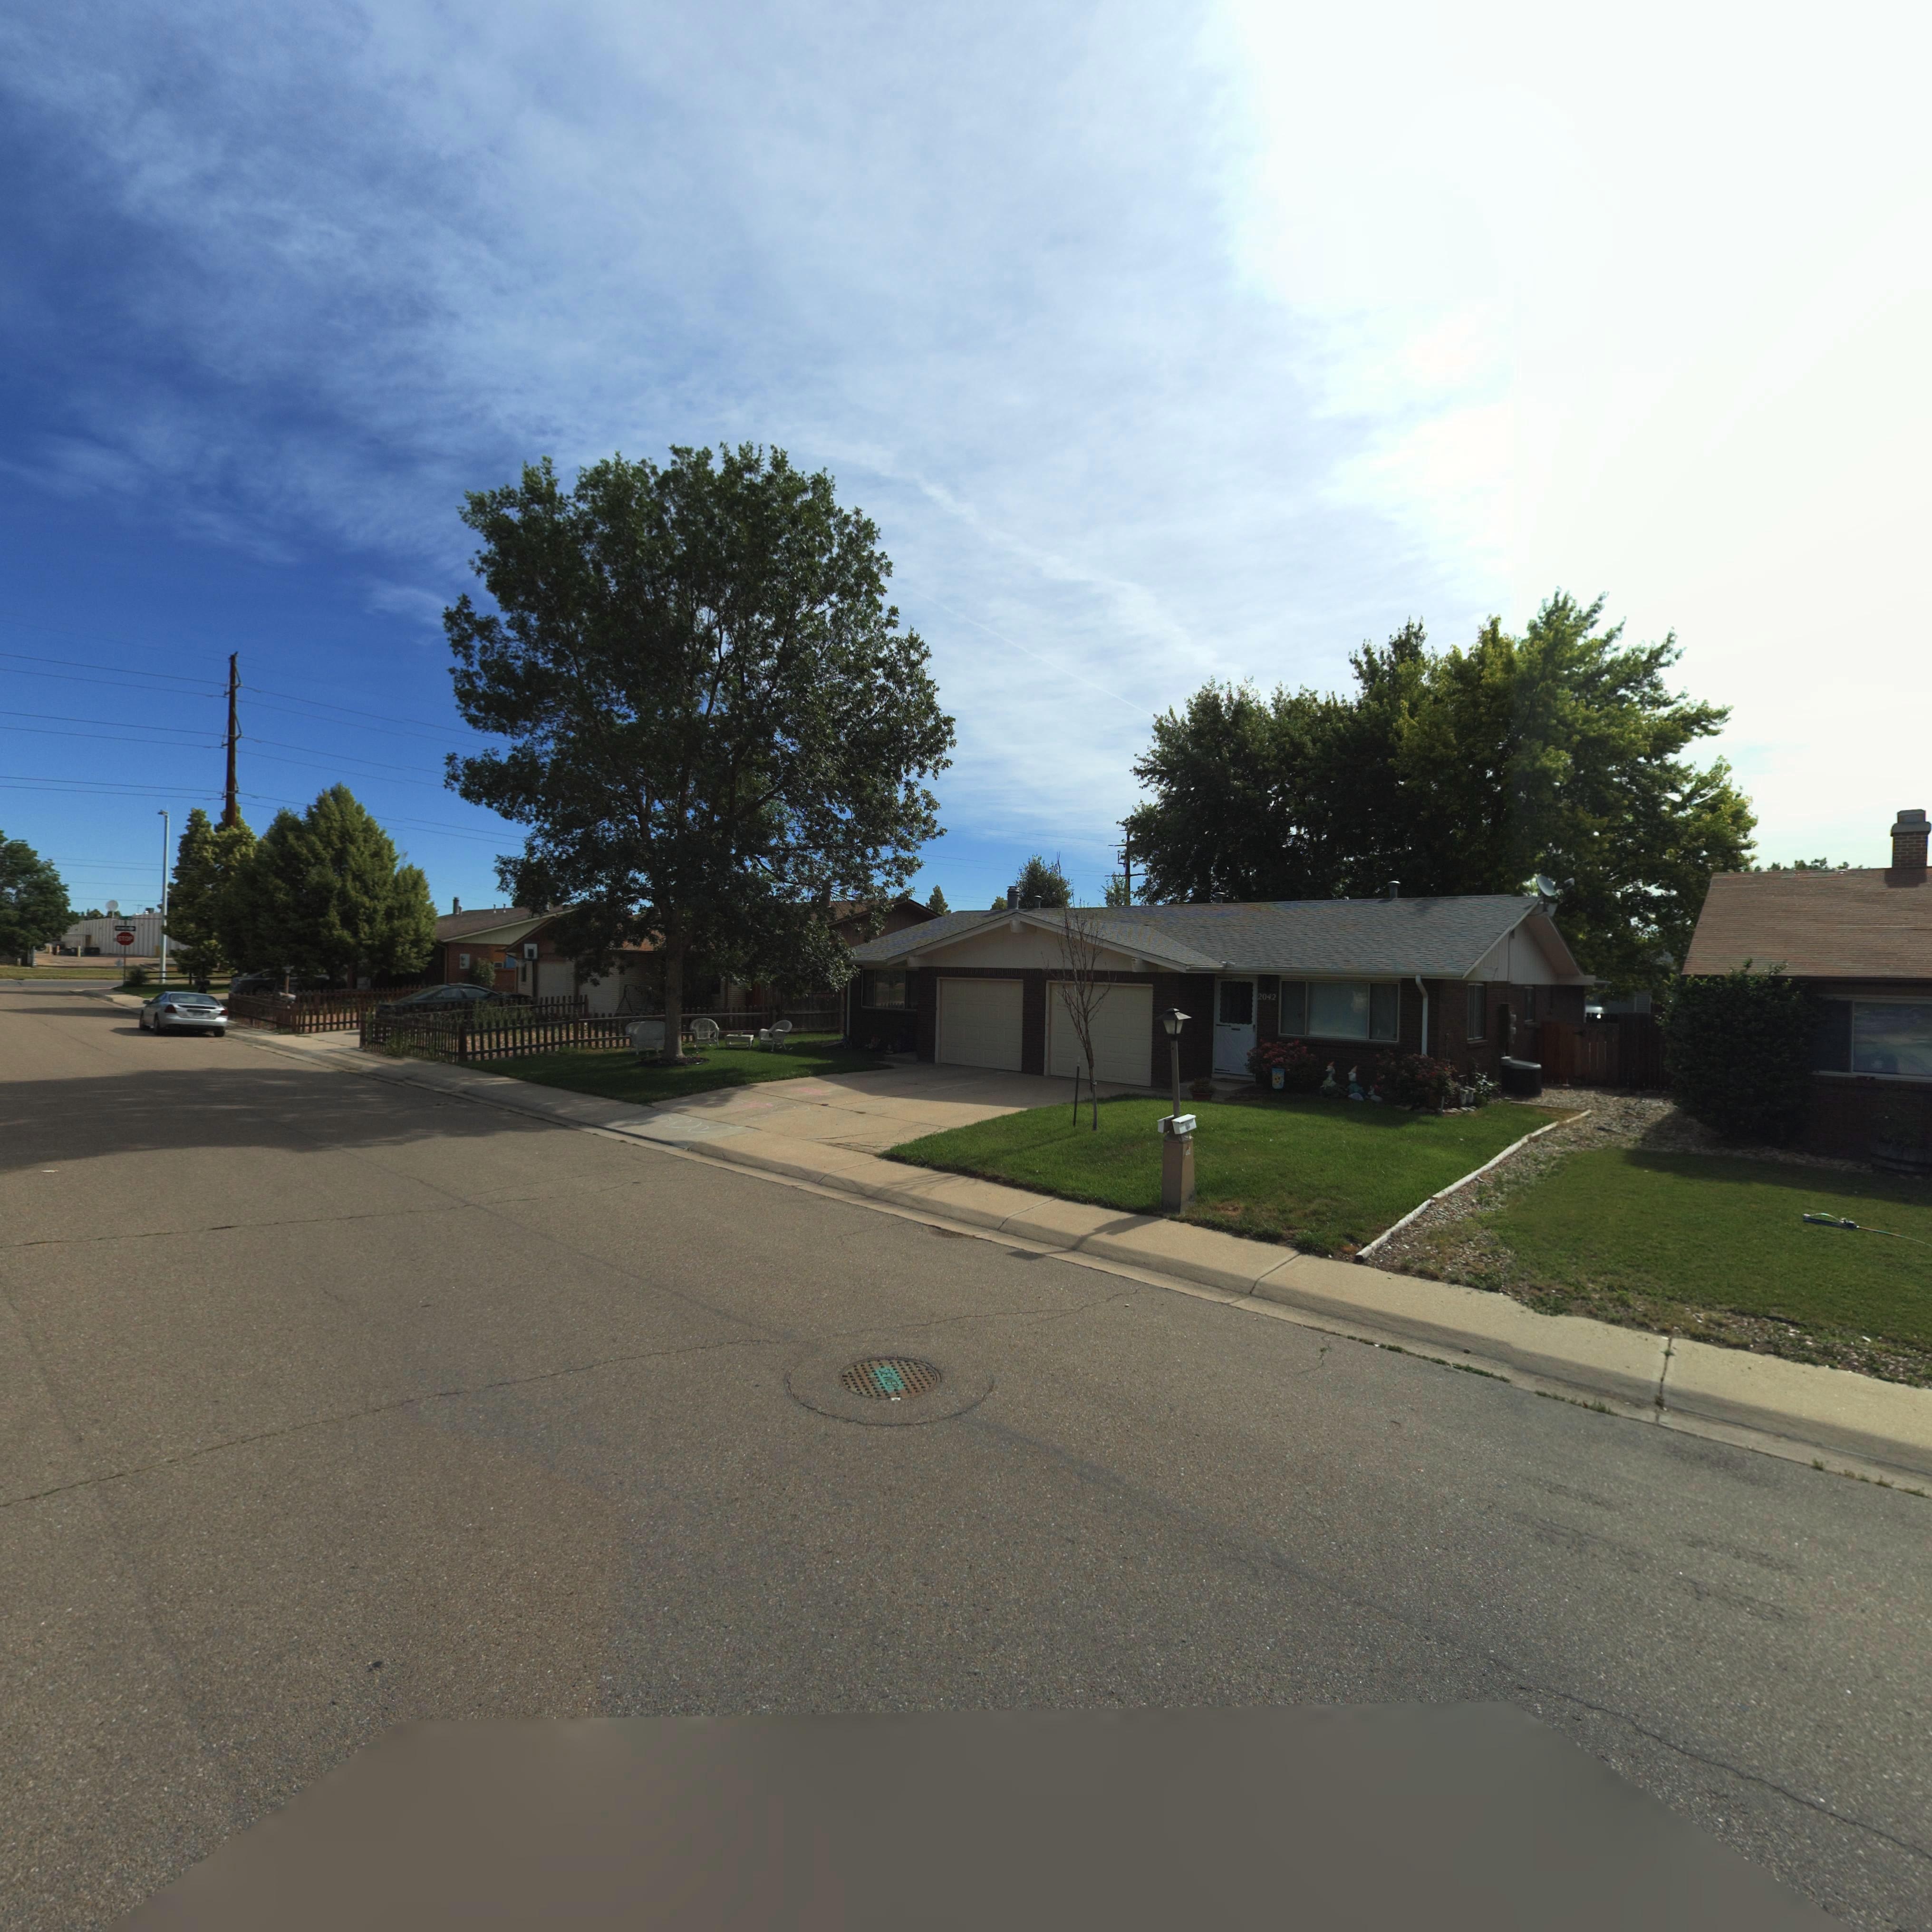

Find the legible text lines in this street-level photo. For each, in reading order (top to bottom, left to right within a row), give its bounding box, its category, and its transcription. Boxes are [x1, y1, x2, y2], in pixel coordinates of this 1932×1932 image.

[1257, 993, 1275, 1000] StreetNumber: 2042